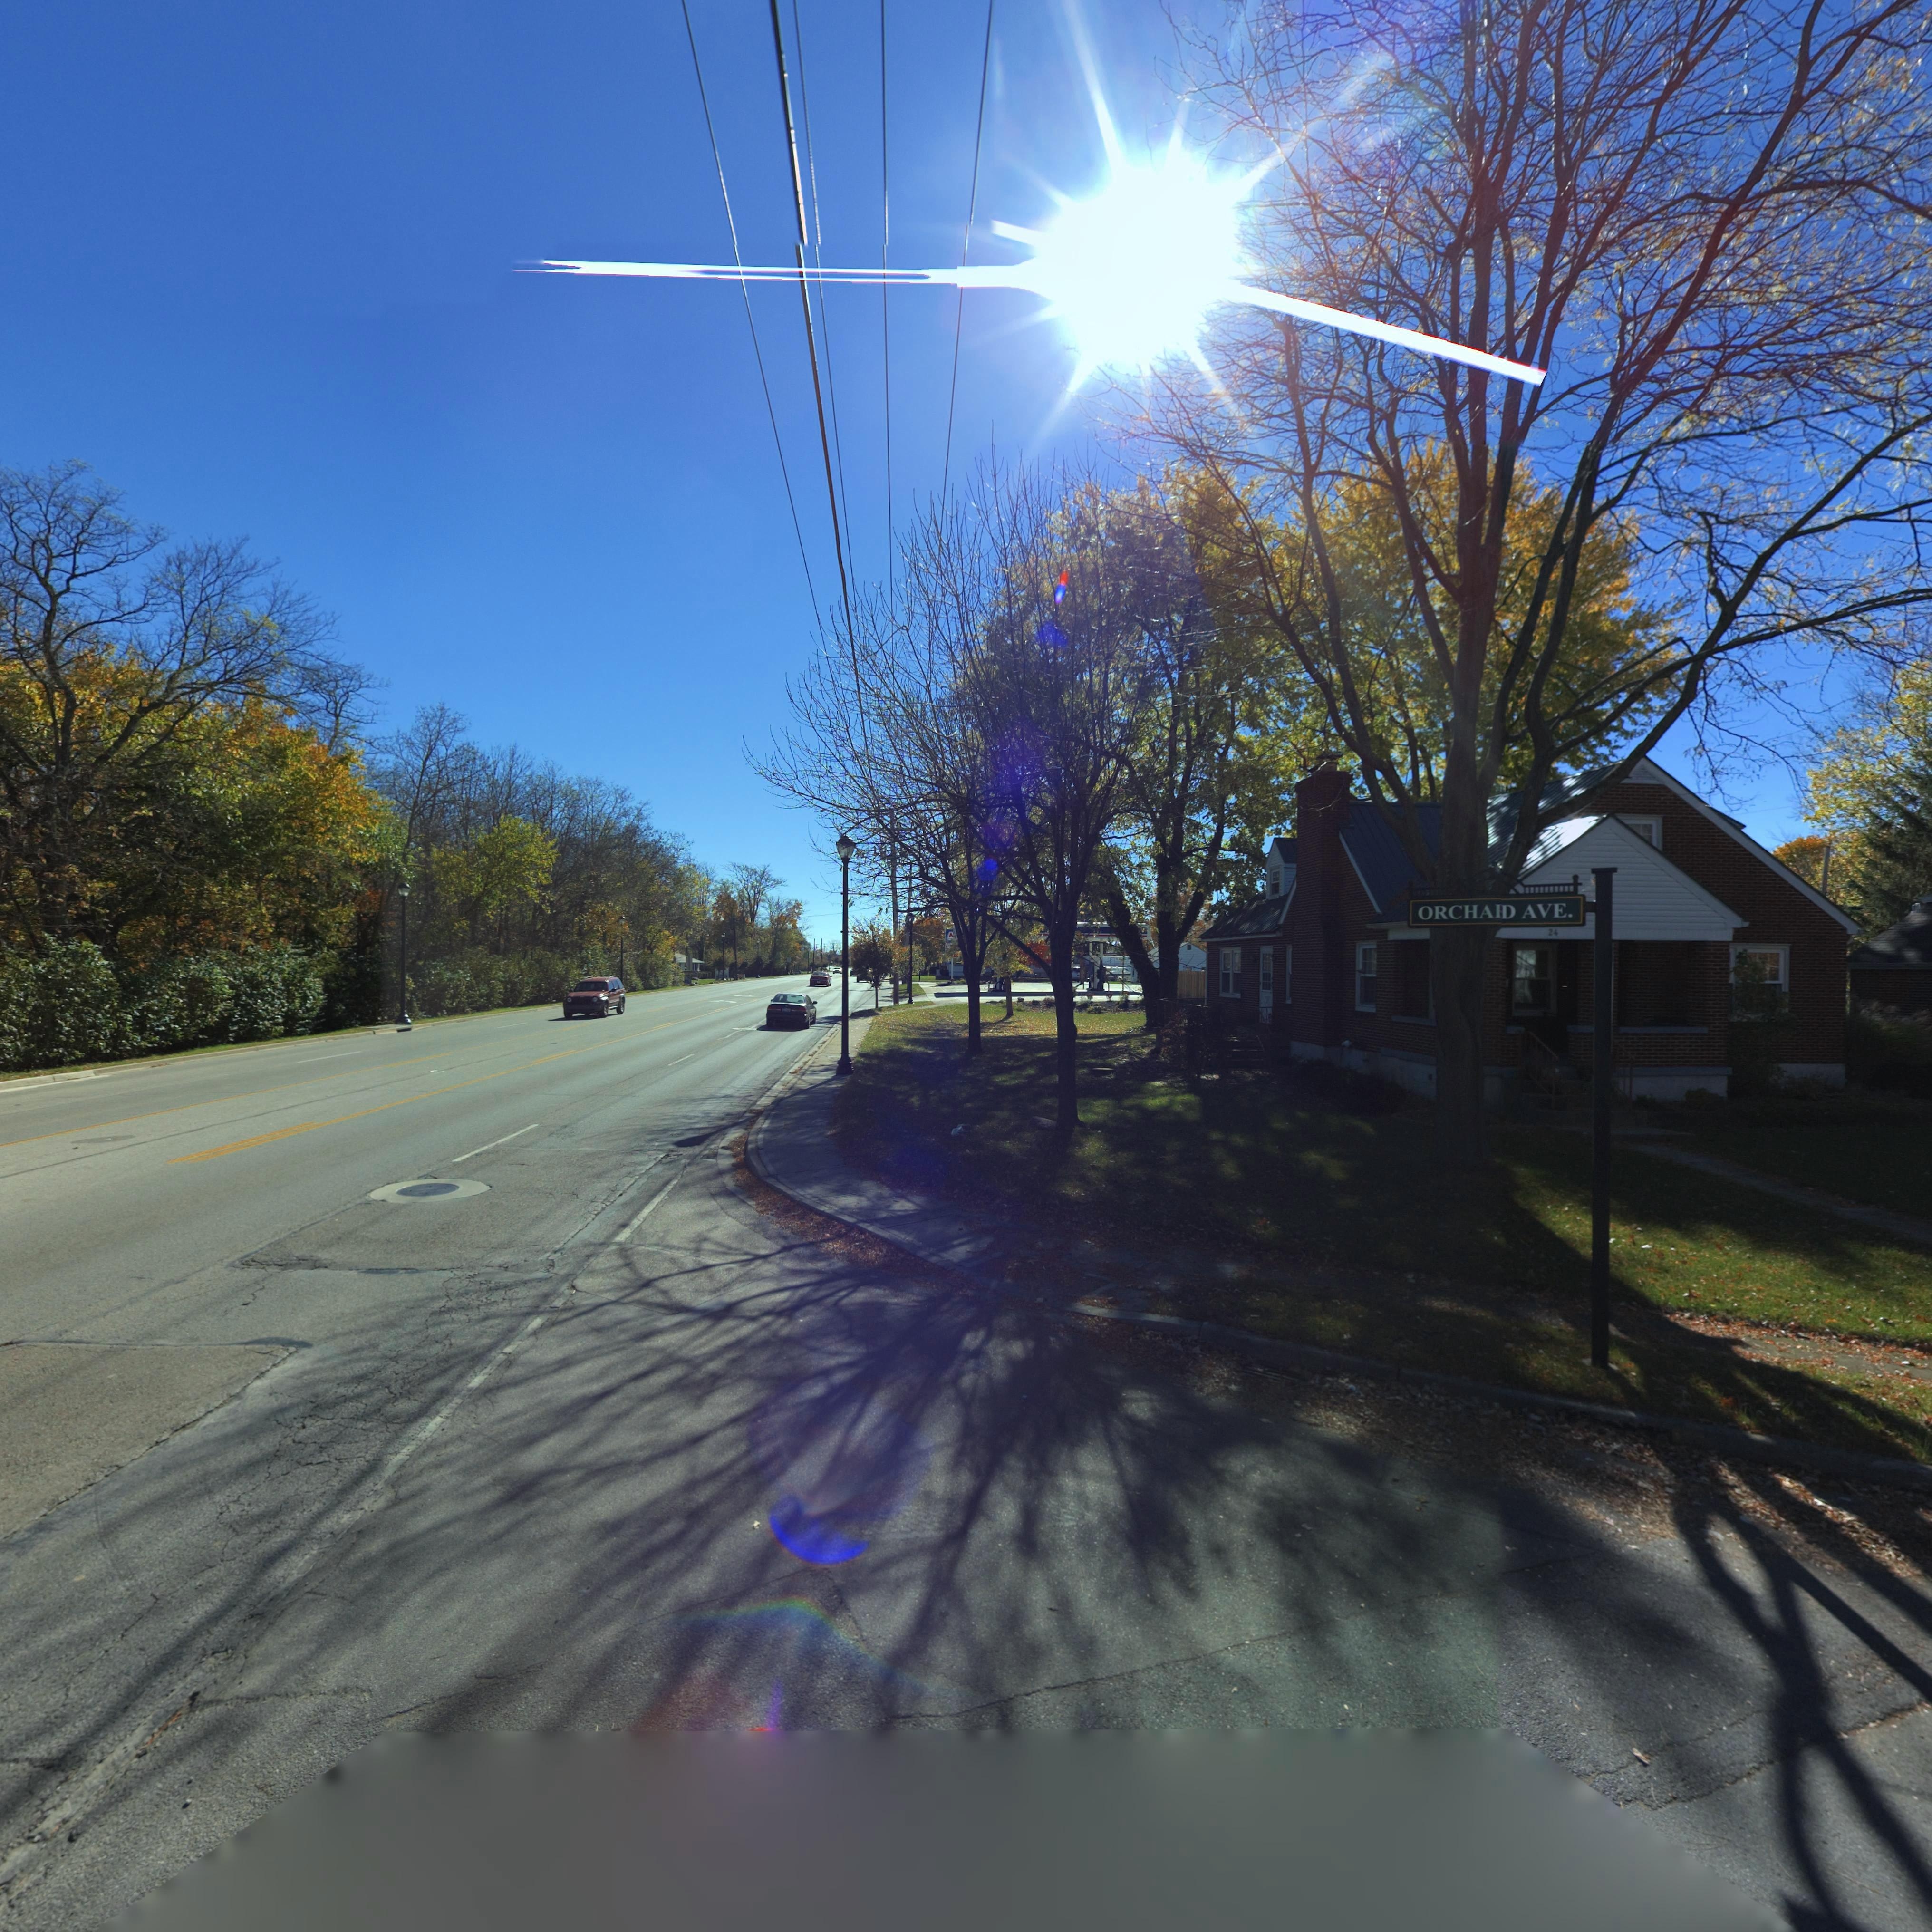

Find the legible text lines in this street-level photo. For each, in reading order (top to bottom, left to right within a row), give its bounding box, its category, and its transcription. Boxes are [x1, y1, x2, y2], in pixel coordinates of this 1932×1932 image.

[1417, 902, 1574, 921] StreetName: ORCHA*D AVE.
[1548, 928, 1558, 937] StreetNumber: 24